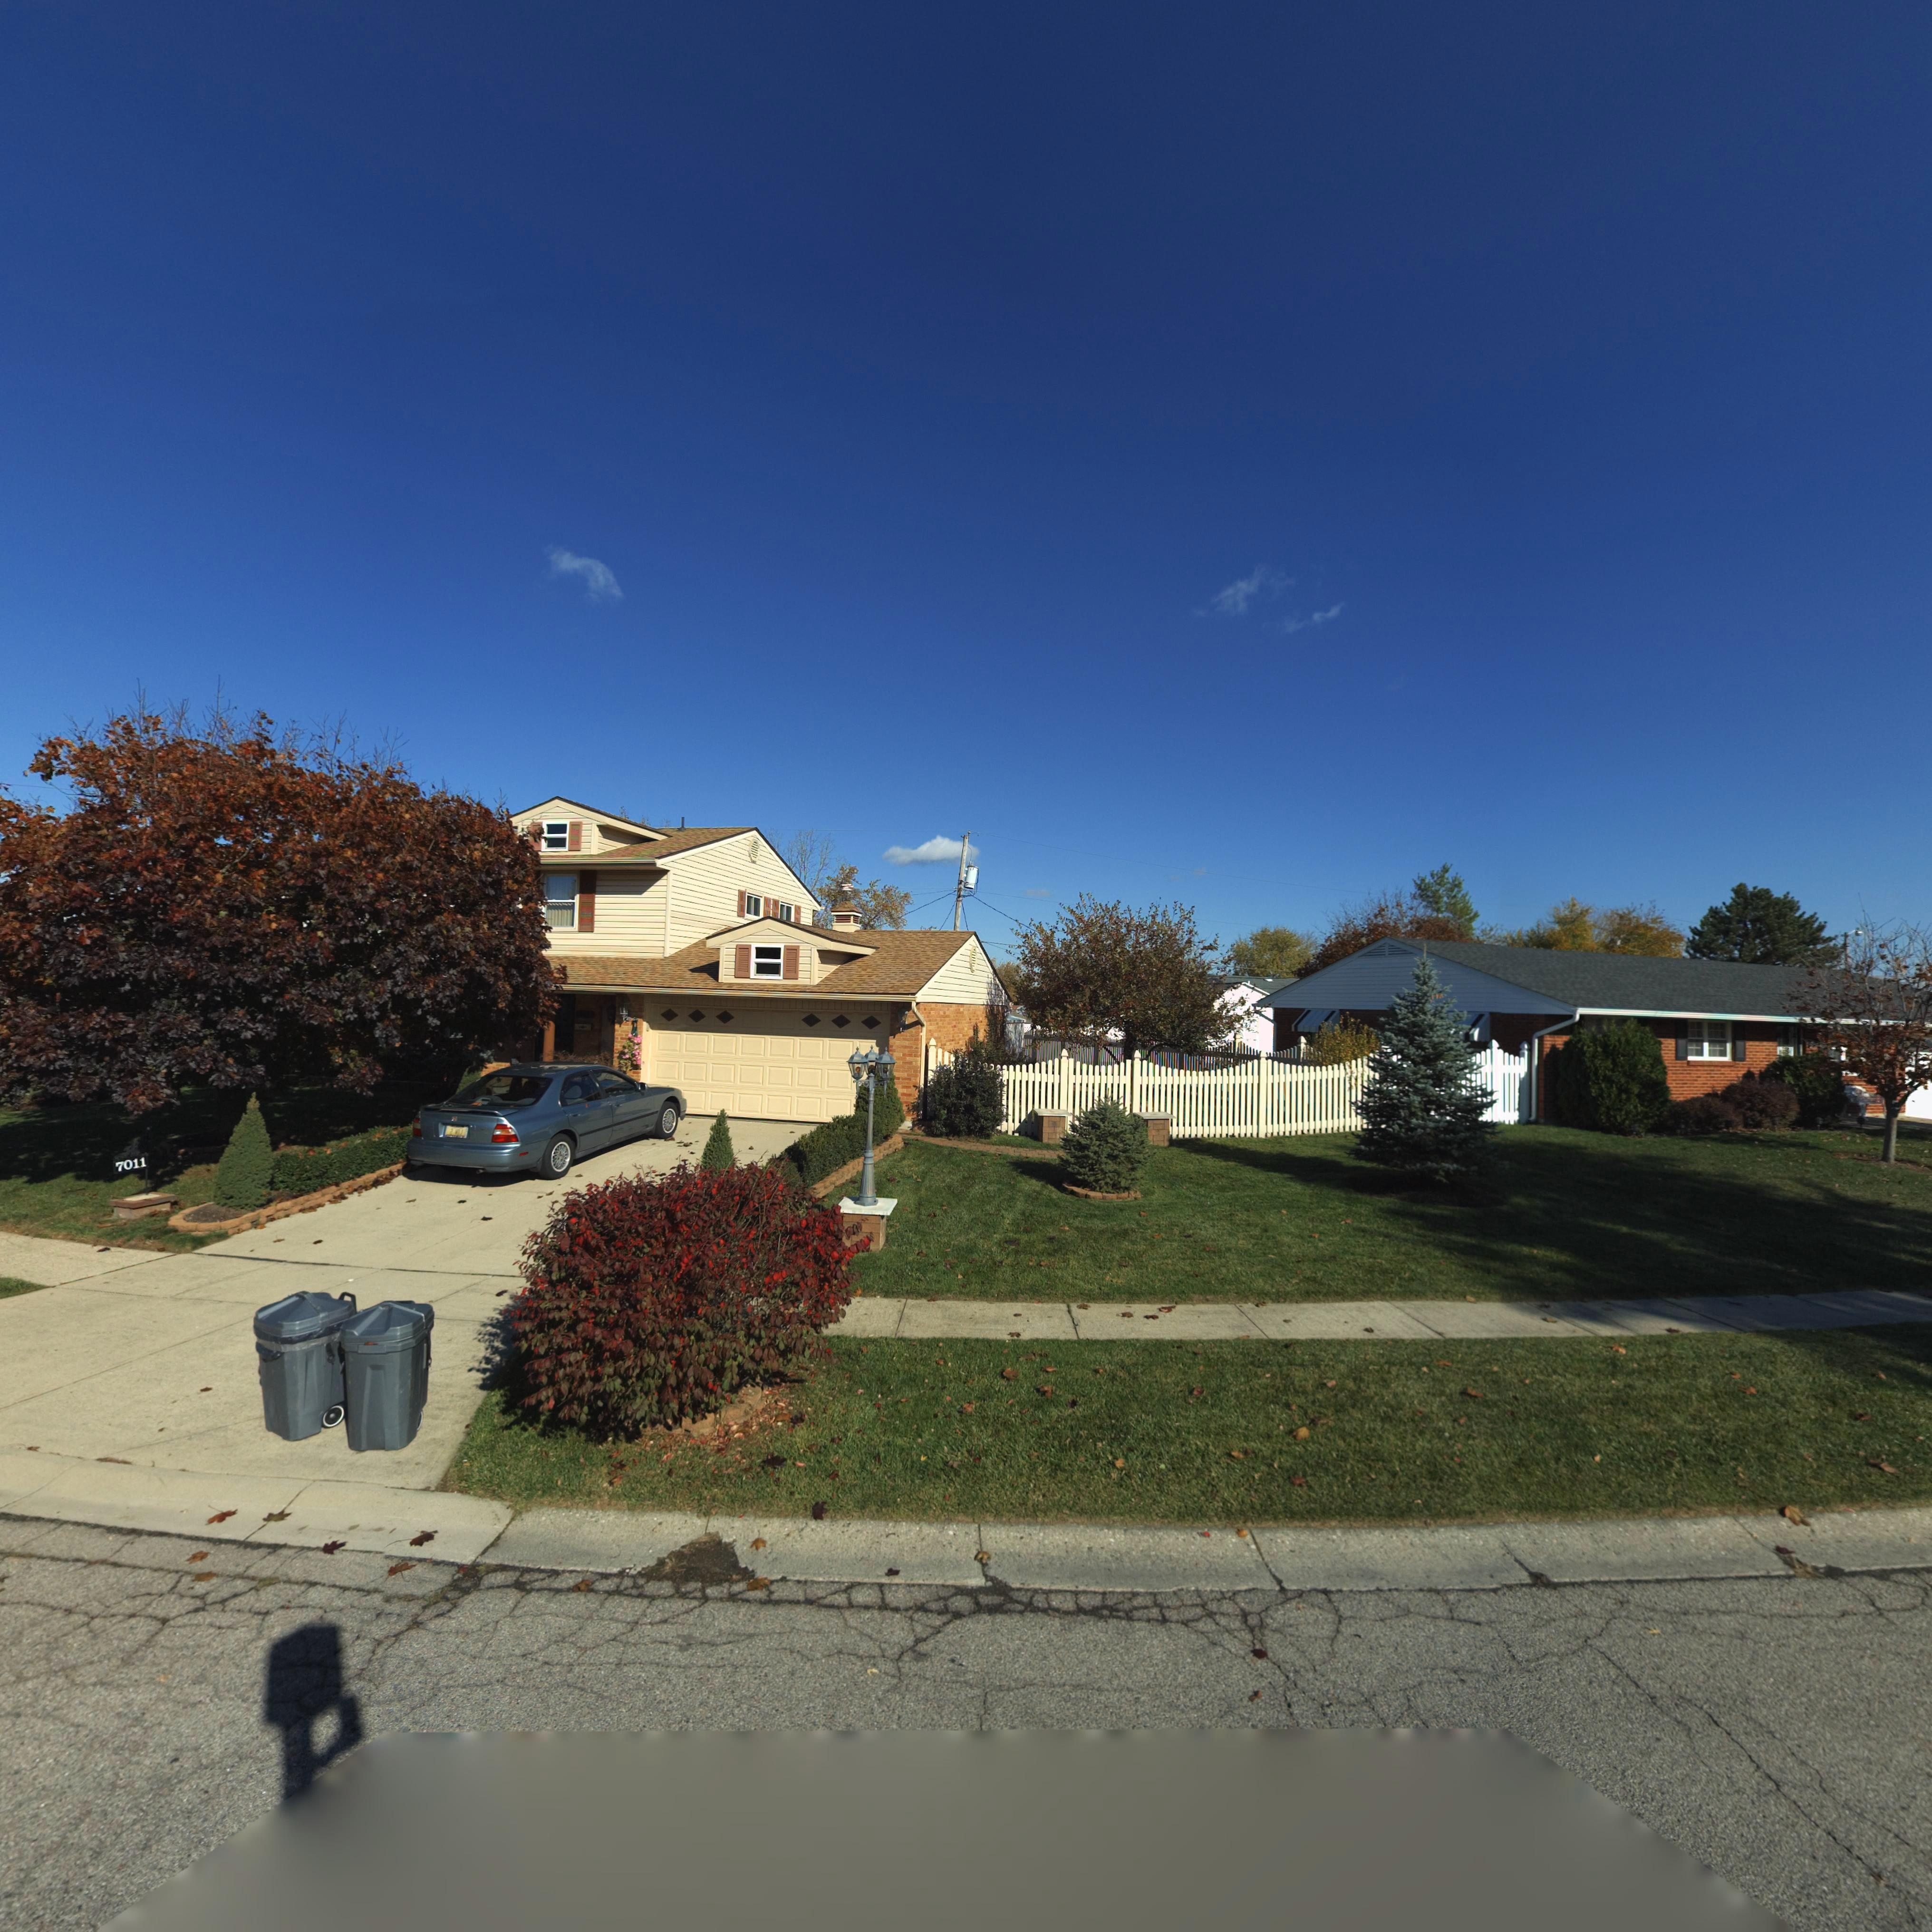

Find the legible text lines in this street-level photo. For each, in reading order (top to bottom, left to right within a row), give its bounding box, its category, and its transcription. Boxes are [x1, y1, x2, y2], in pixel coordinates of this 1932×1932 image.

[114, 1156, 147, 1172] StreetNumber: 7011